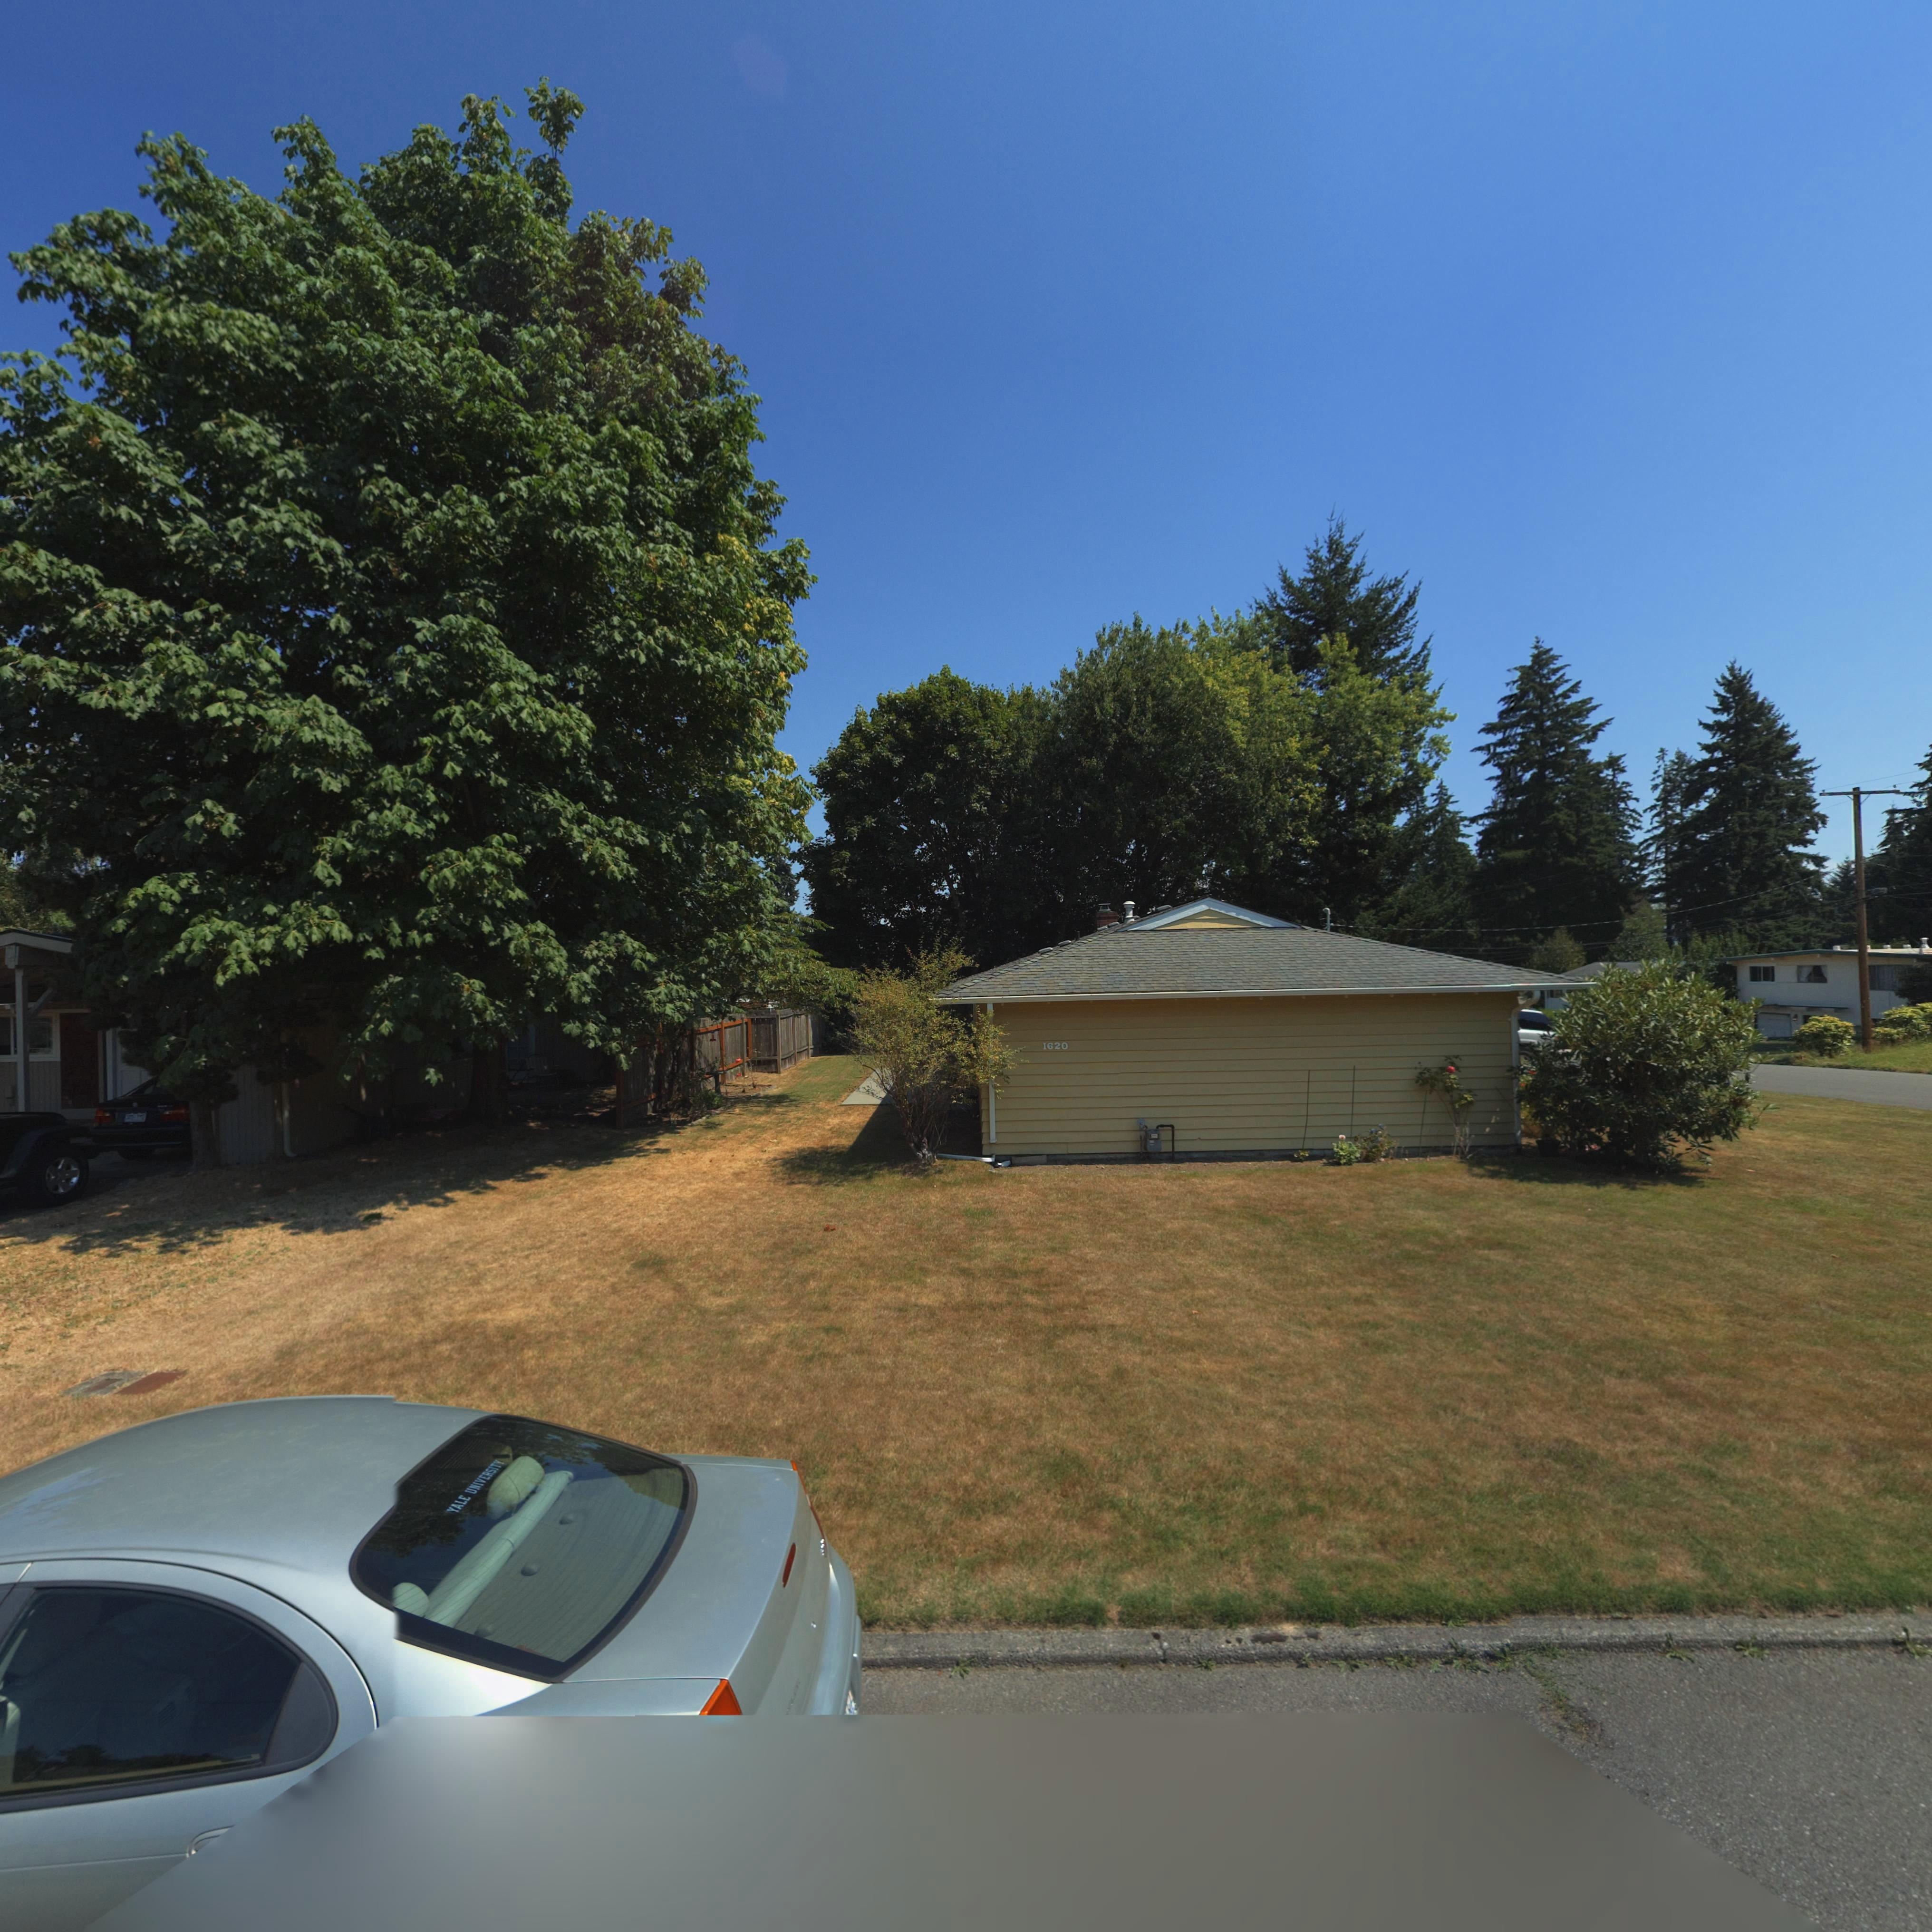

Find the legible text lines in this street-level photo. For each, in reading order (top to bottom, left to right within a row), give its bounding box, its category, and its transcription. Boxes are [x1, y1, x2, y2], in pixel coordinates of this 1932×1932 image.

[1042, 1042, 1069, 1050] StreetNumber: 1620